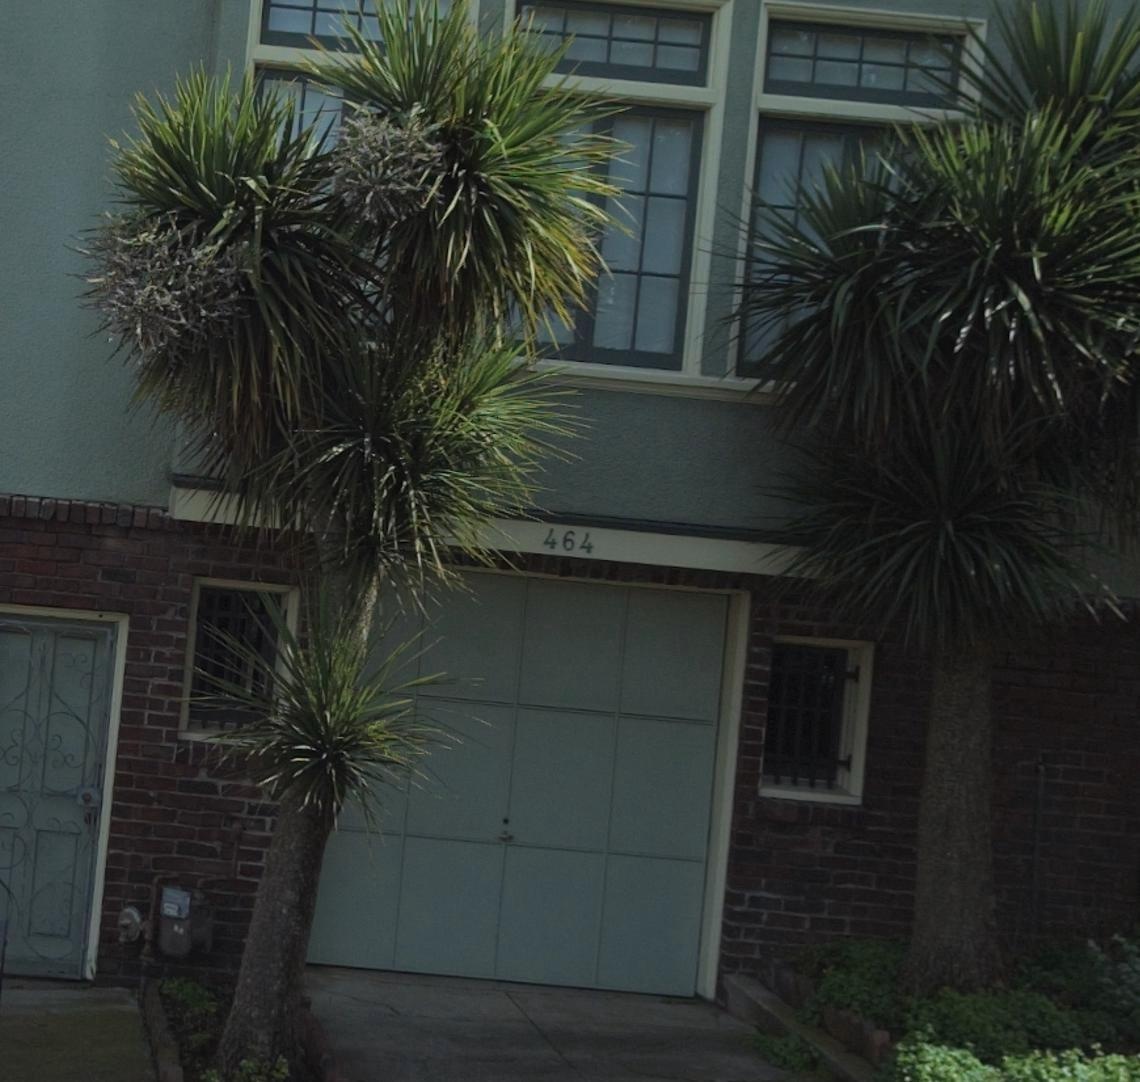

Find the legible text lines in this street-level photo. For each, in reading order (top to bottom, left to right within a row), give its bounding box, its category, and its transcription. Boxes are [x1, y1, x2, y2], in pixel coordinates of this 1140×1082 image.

[539, 525, 596, 557] StreetNumber: 464